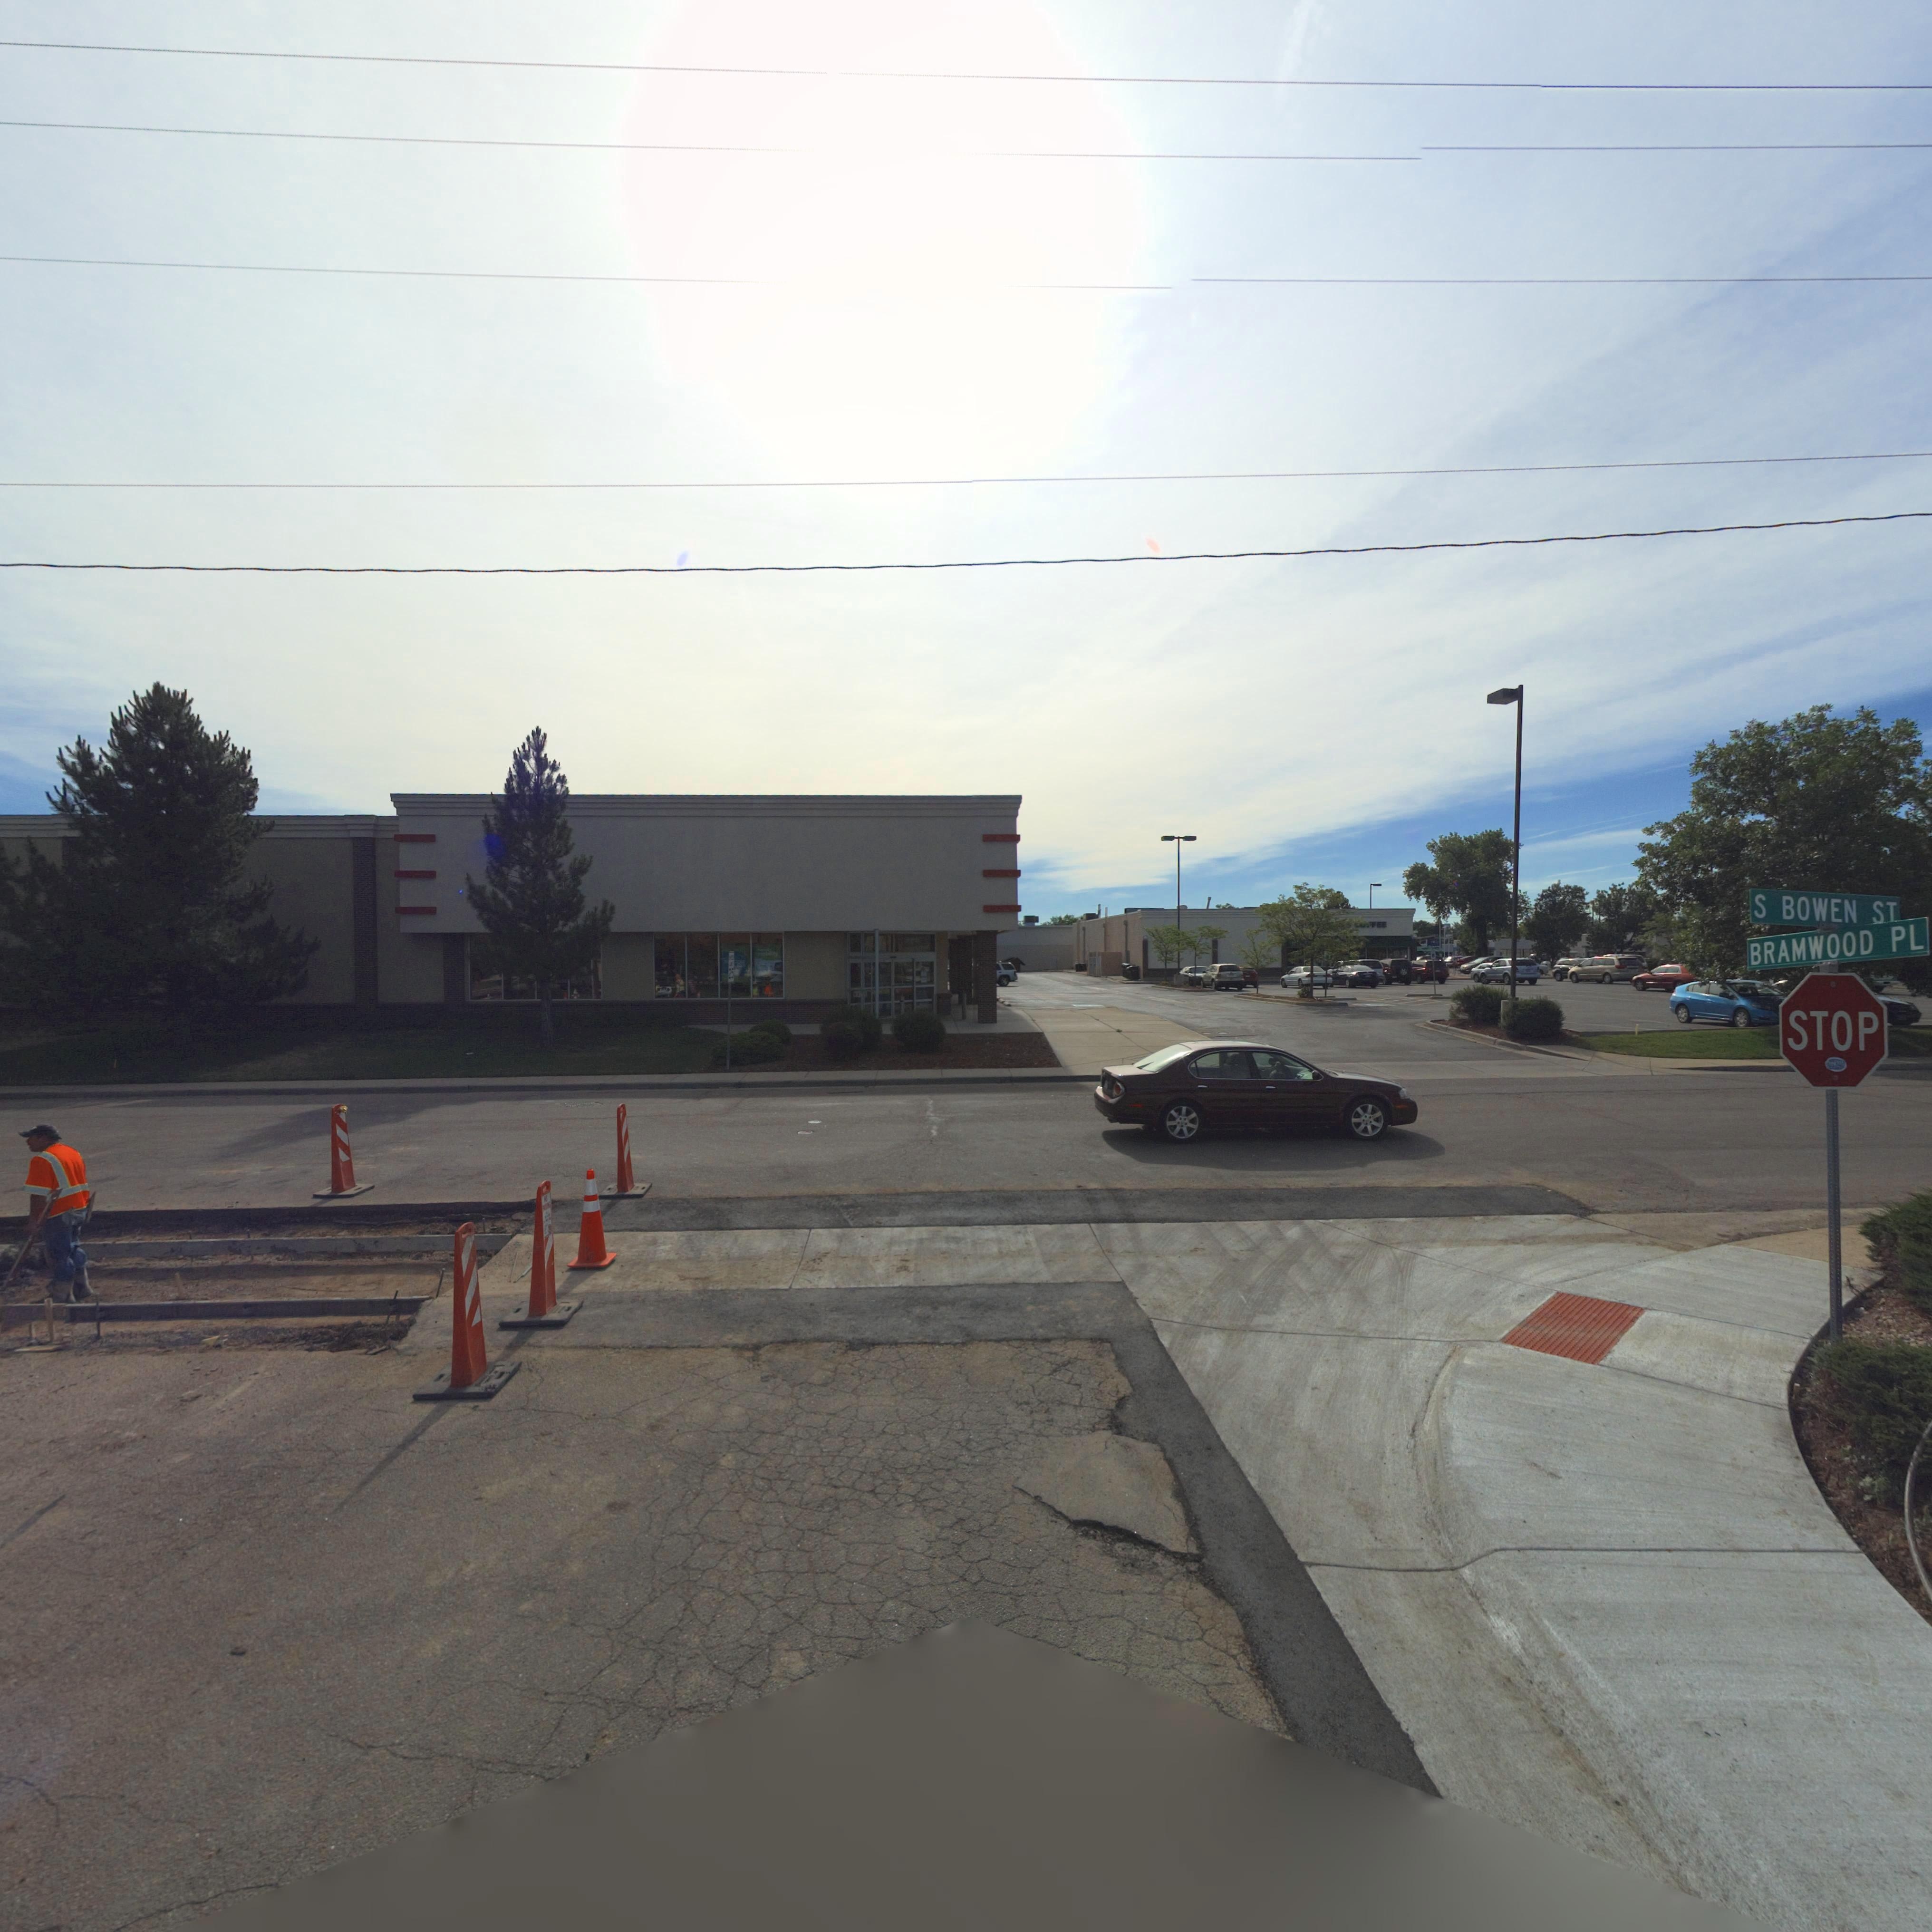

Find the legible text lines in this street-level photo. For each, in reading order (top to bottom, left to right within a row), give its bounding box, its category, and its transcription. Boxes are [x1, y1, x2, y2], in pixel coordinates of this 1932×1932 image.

[1753, 893, 1897, 924] StreetName: S BOWEN ST
[1353, 920, 1387, 927] BusinessName: ****EE
[1749, 924, 1924, 966] StreetName: BRAMWOOD PL